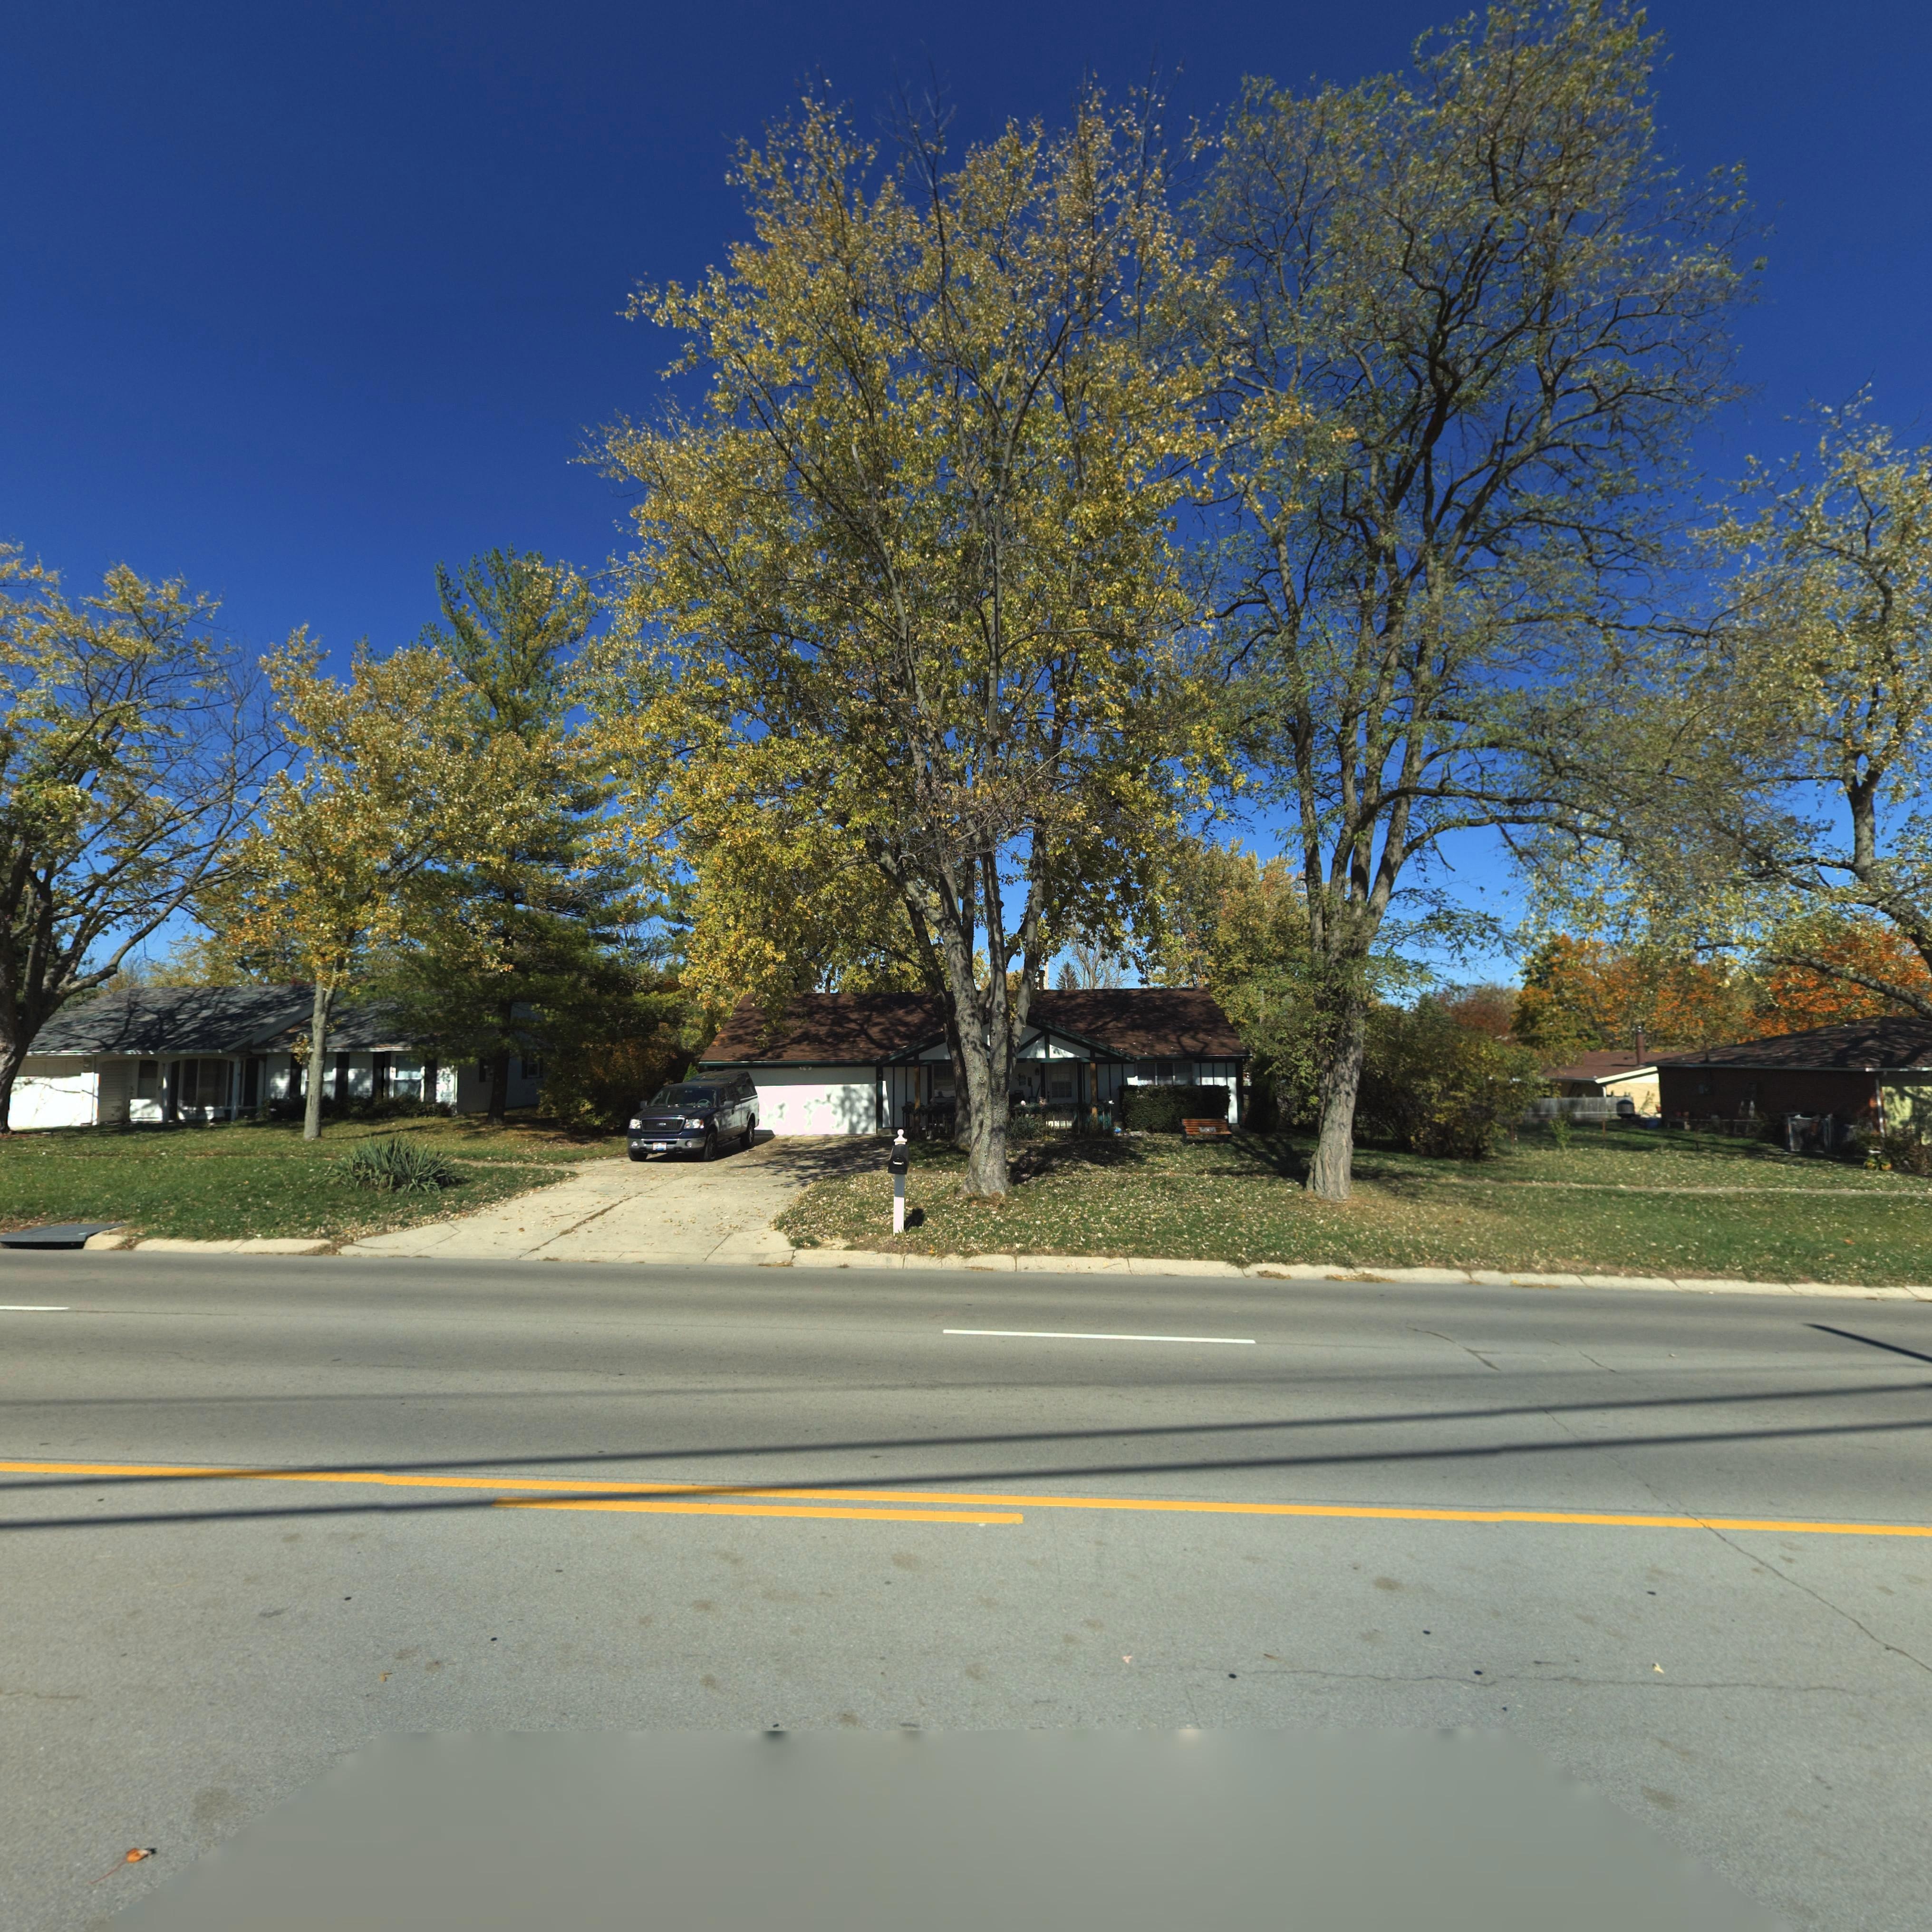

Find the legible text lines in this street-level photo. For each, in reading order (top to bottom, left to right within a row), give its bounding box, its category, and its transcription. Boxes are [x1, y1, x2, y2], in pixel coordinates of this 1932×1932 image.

[1200, 1127, 1215, 1133] StreetNumber: *0*